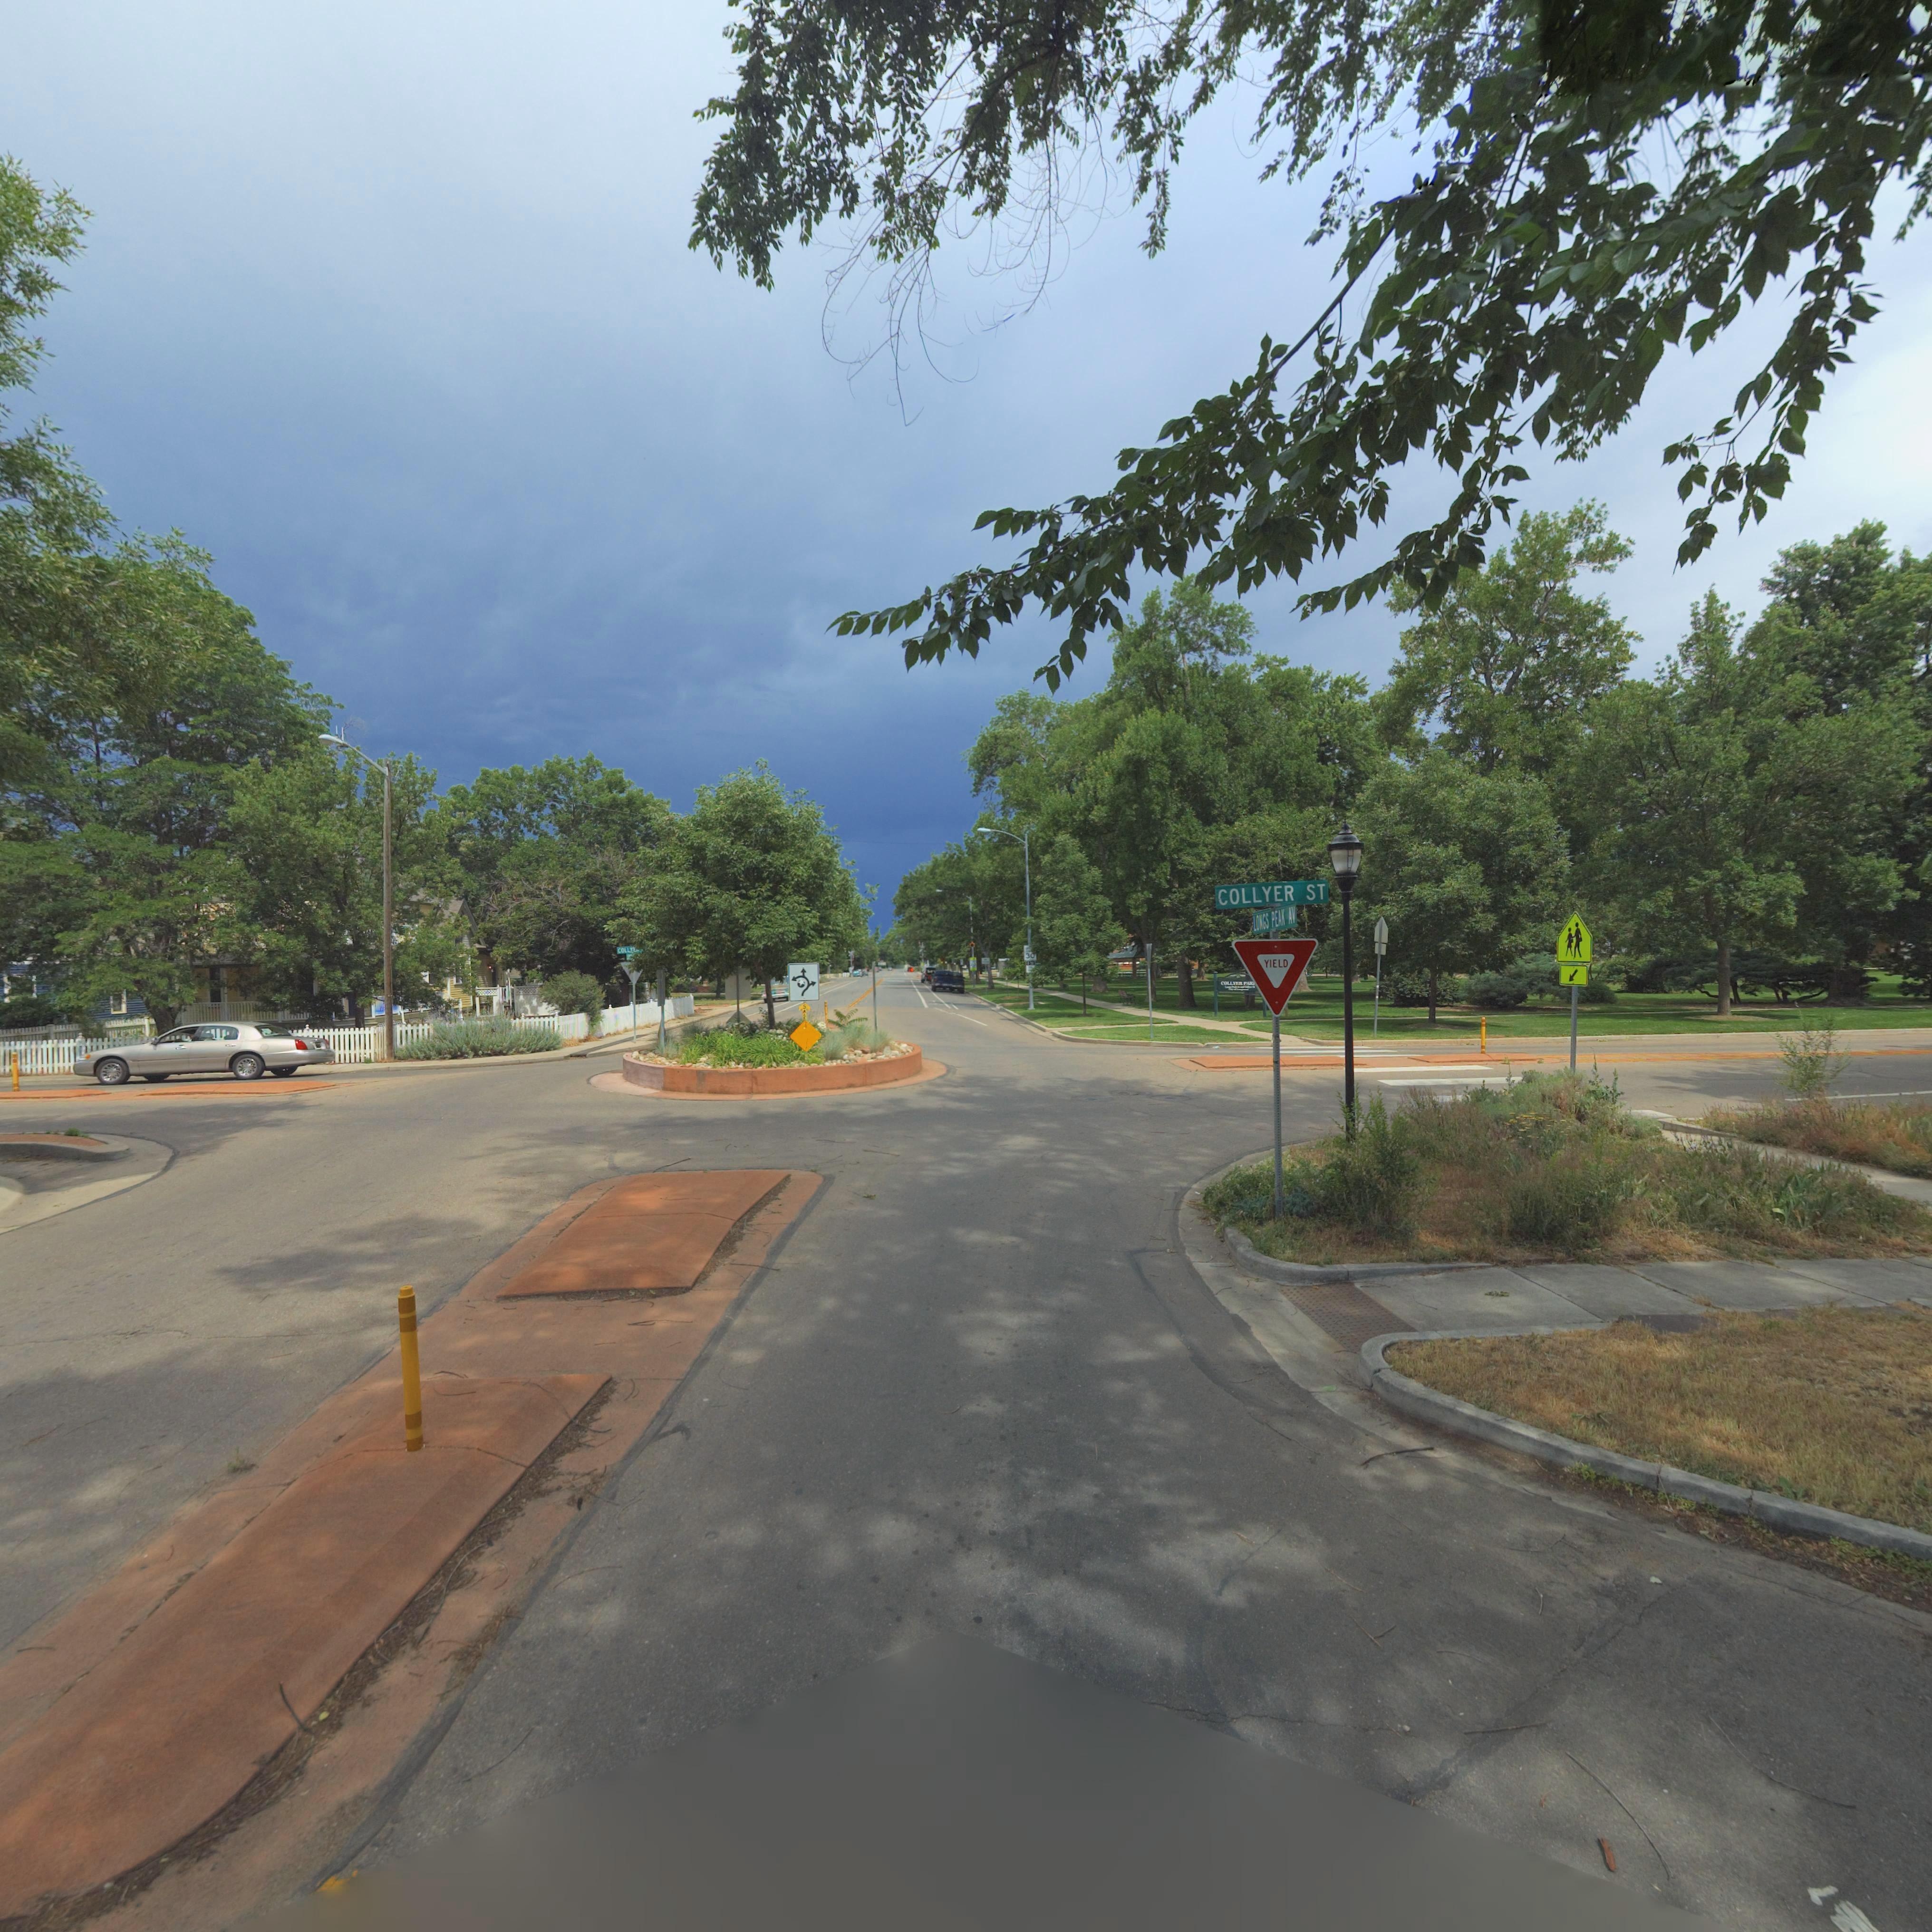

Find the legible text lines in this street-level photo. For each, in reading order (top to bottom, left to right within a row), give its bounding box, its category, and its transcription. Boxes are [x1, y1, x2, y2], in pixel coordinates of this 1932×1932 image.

[1216, 883, 1326, 906] StreetName: COLLYER ST
[1252, 905, 1295, 932] StreetName: LONGS PEAK AV
[617, 947, 636, 953] StreetName: COLLY*